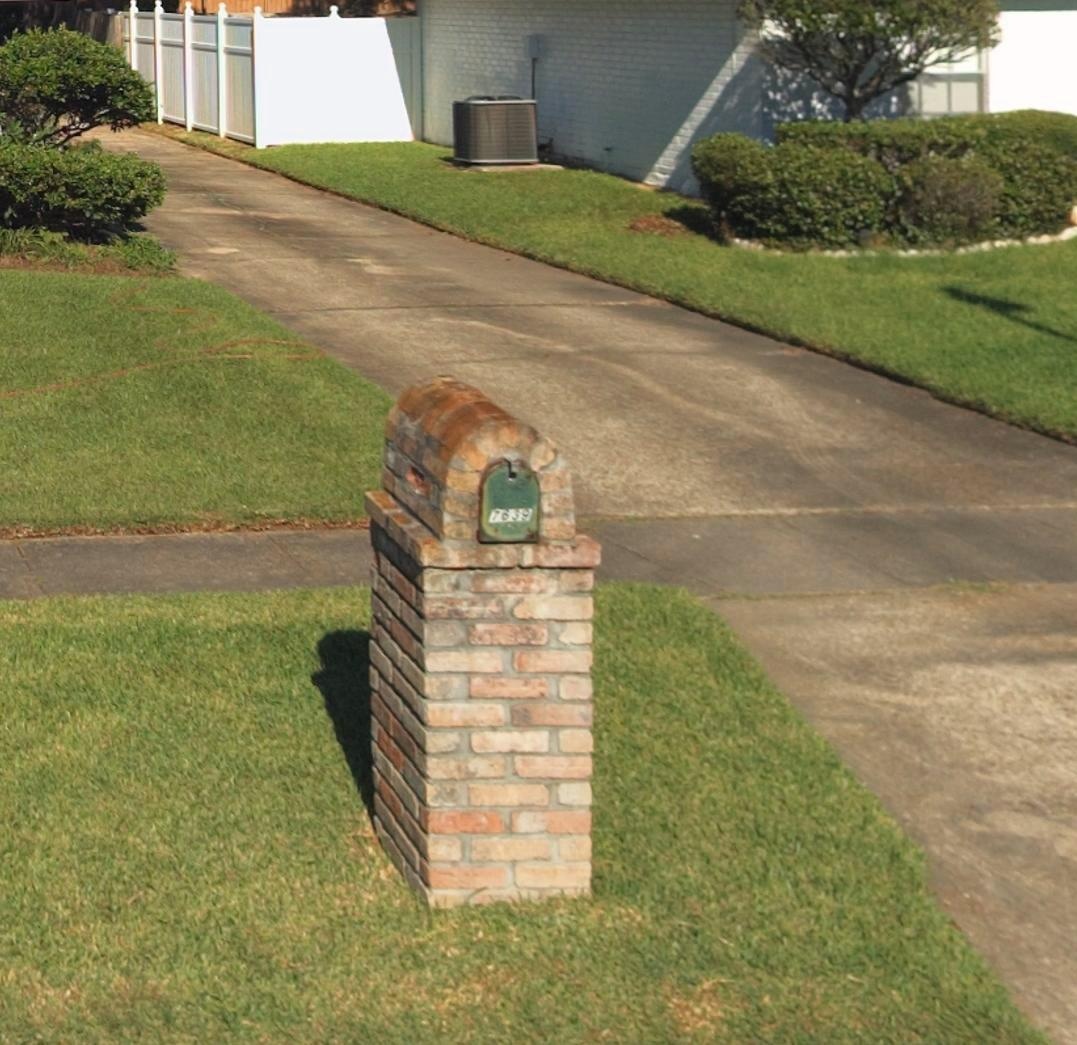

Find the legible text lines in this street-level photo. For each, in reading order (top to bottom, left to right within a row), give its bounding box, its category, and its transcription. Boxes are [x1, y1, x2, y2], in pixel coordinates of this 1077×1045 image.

[491, 509, 530, 522] StreetNumber: 7639